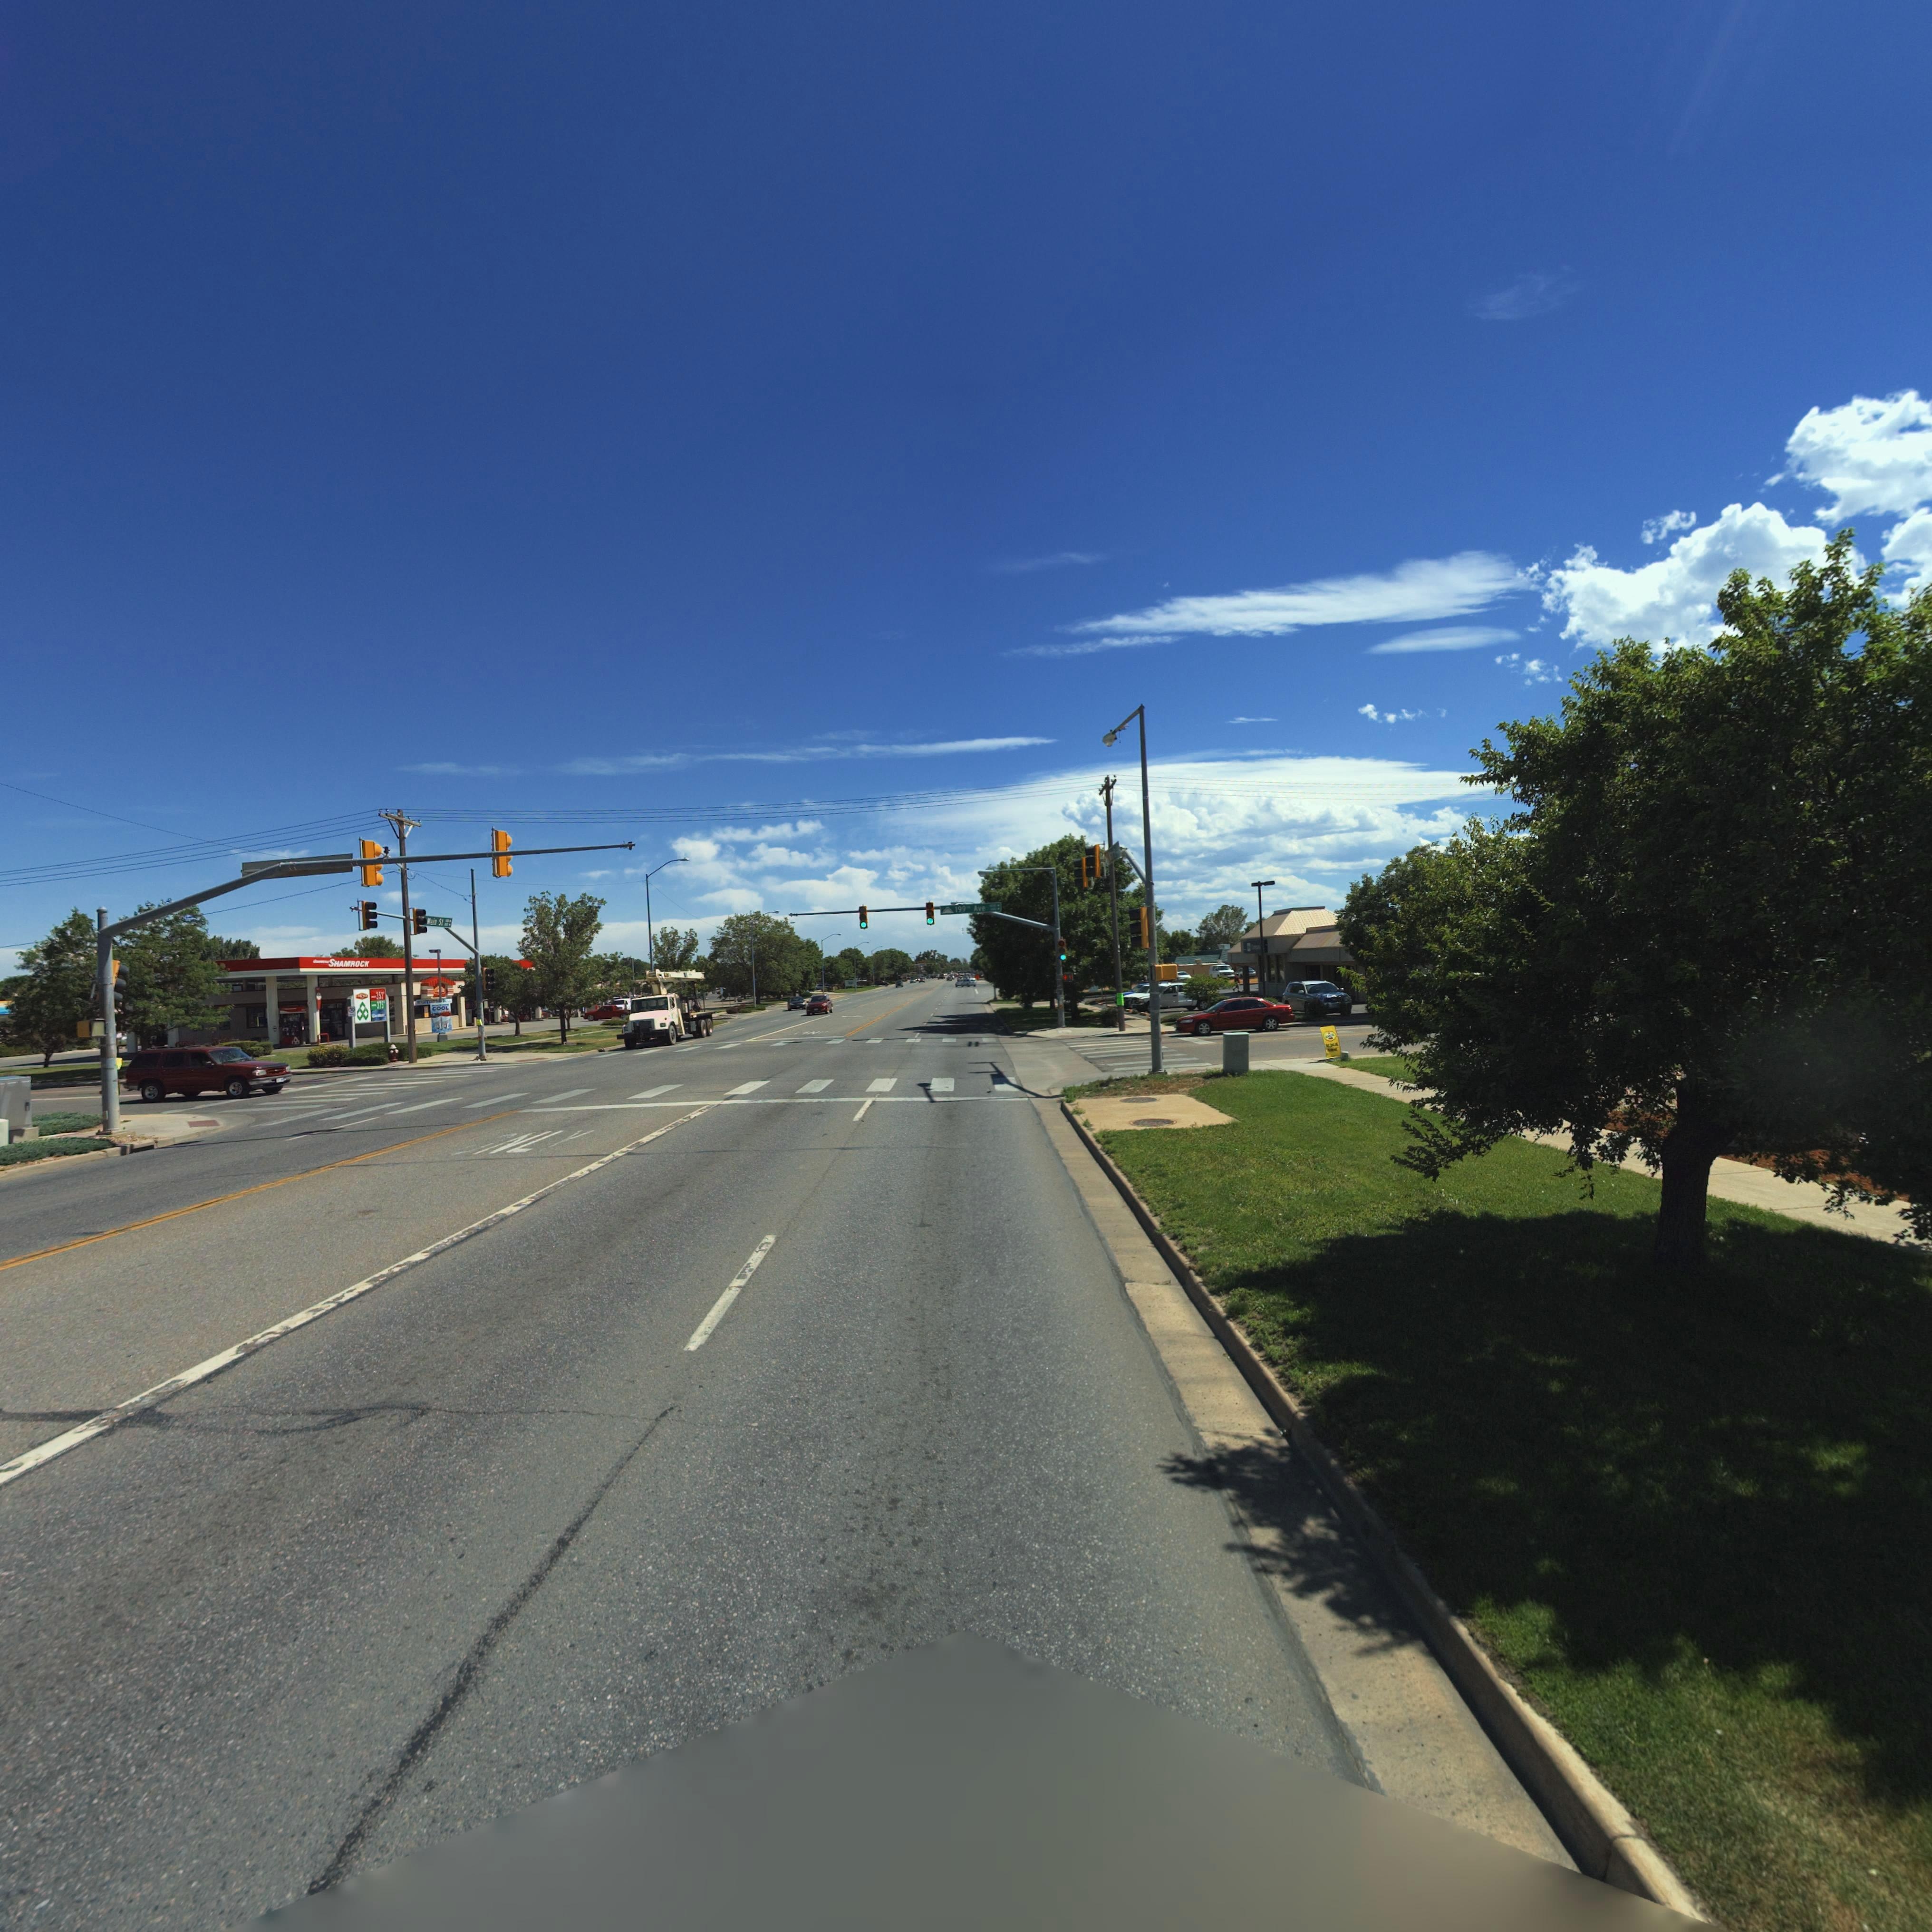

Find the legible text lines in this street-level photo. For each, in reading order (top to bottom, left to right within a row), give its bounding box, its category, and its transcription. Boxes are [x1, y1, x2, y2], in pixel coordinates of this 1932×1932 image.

[955, 905, 985, 913] StreetName: 199th Ave
[426, 918, 444, 925] StreetName: Main St
[1250, 943, 1261, 950] BusinessName: C***a**
[328, 958, 369, 967] BusinessName: SHAMROCK